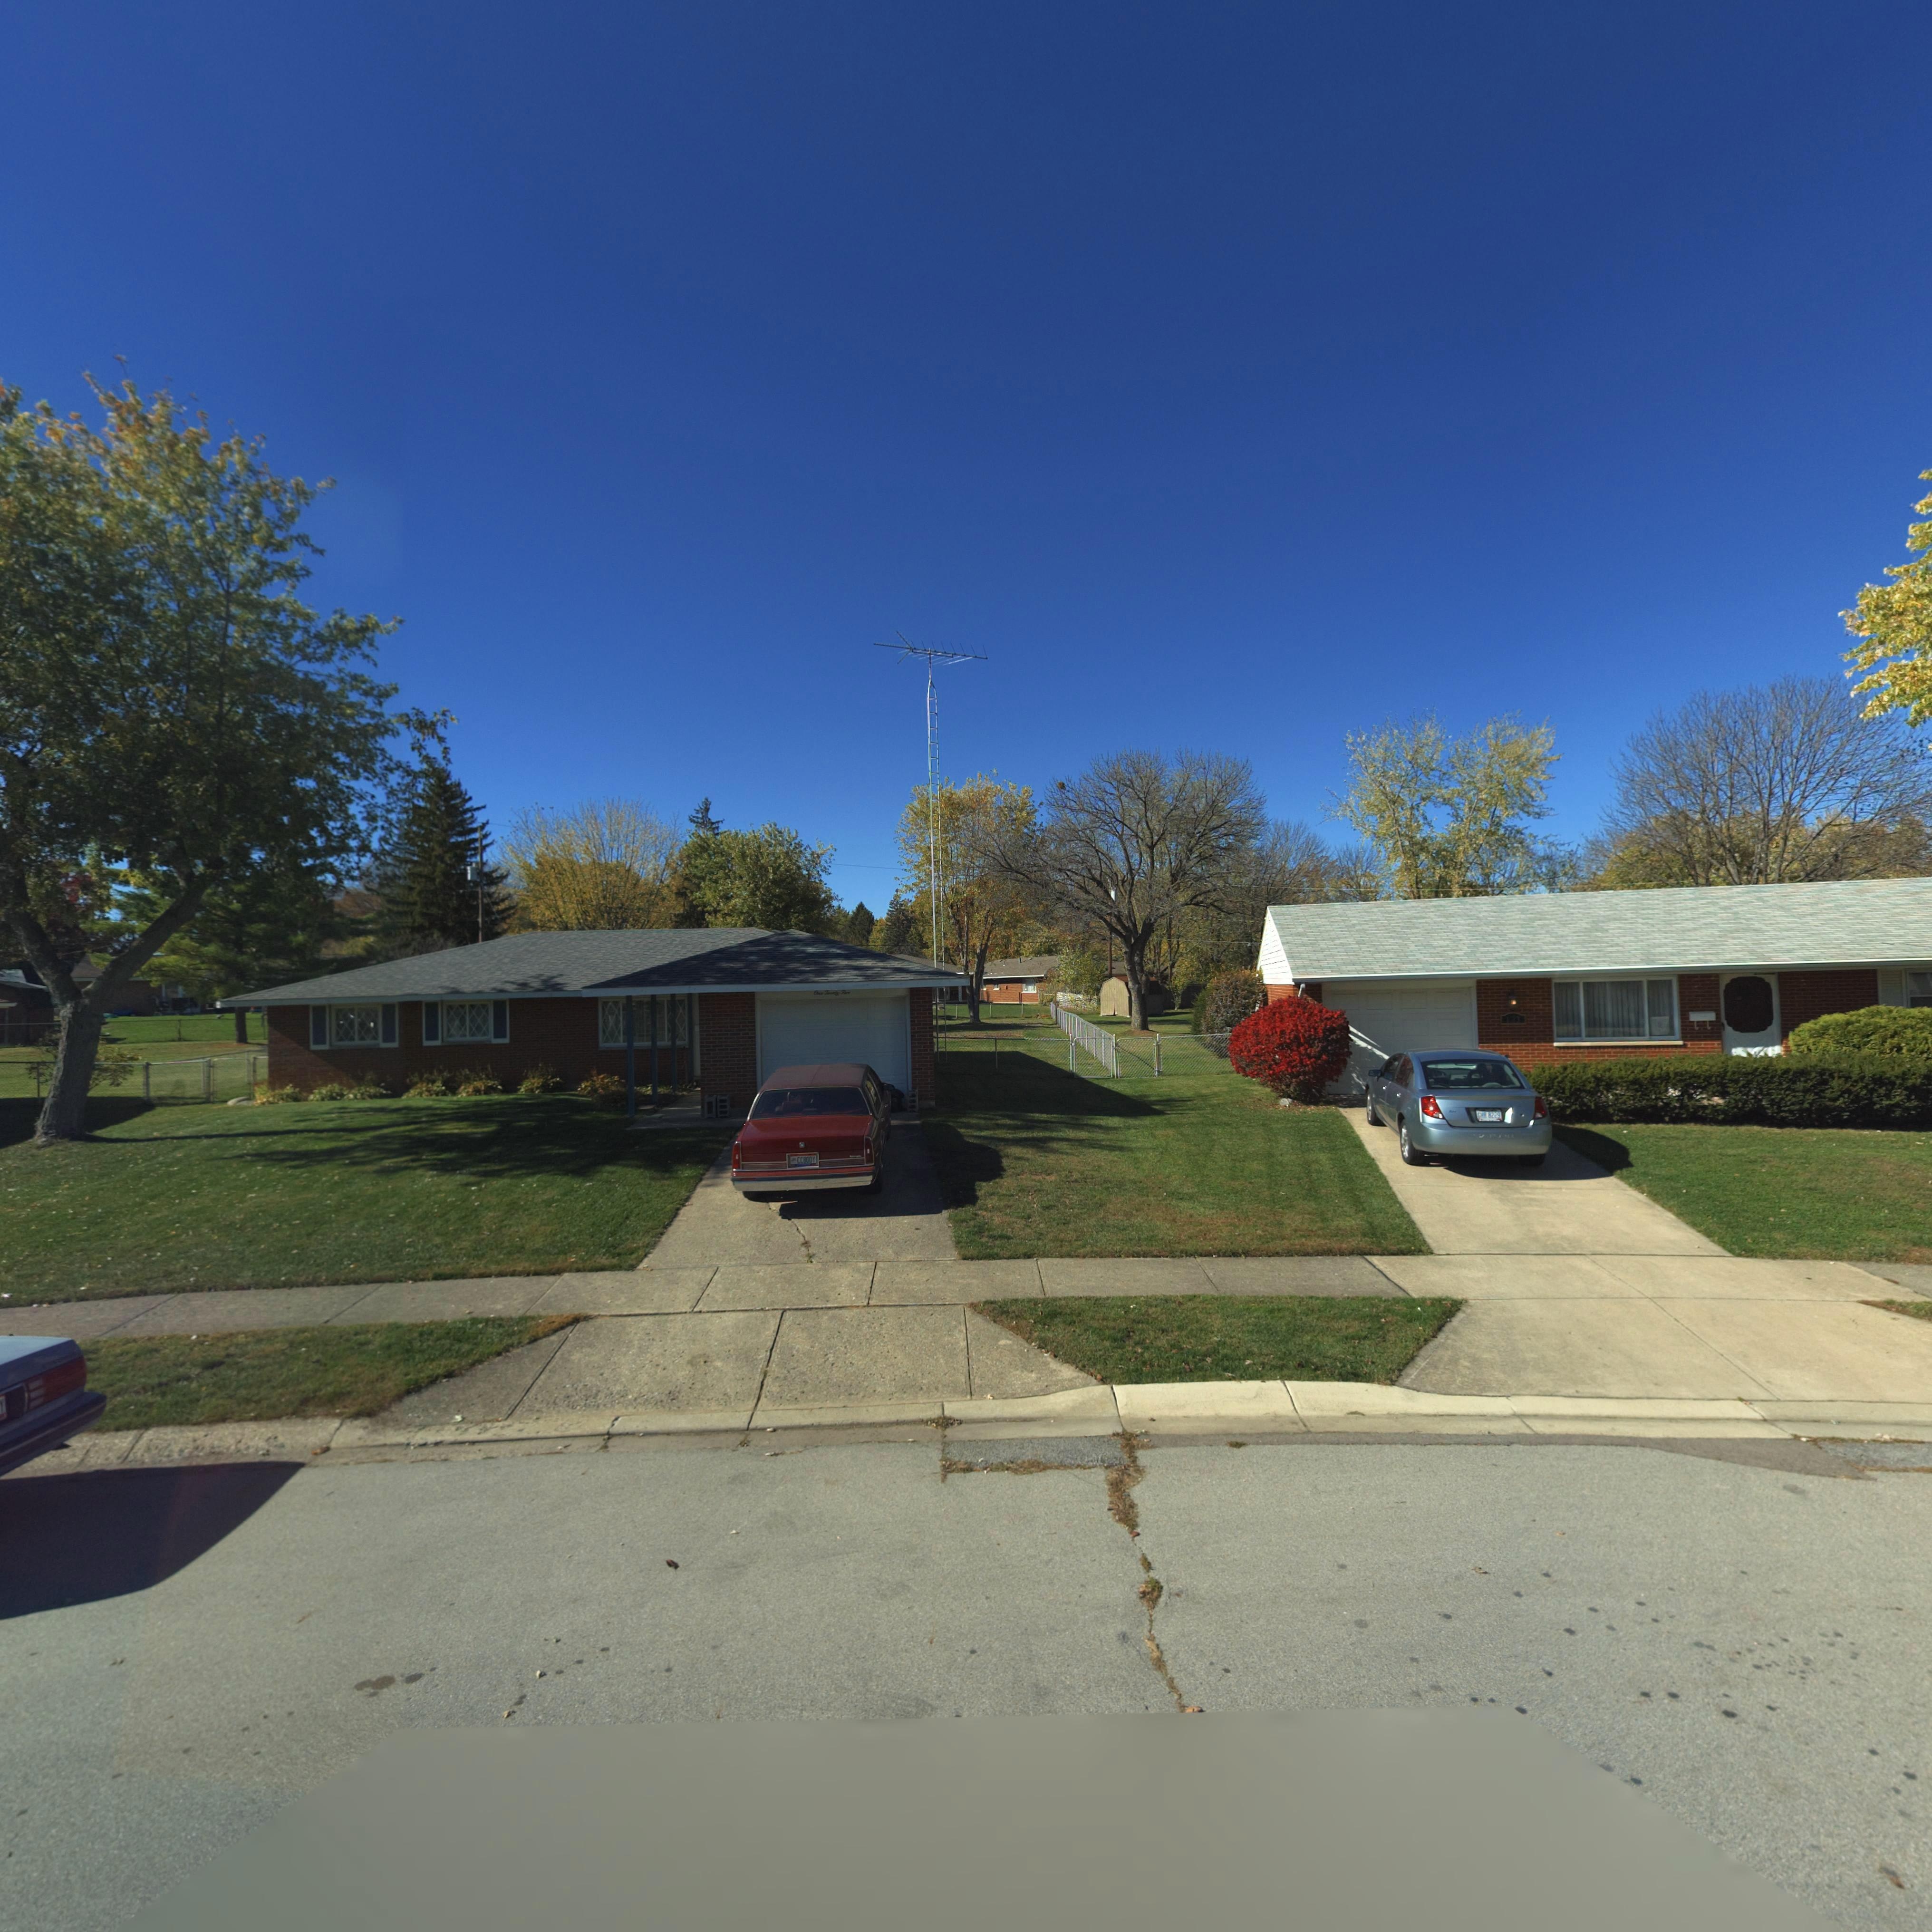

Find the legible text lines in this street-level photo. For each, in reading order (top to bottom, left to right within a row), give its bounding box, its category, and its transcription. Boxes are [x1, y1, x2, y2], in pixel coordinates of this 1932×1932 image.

[1506, 1015, 1520, 1024] StreetNumber: 1*3